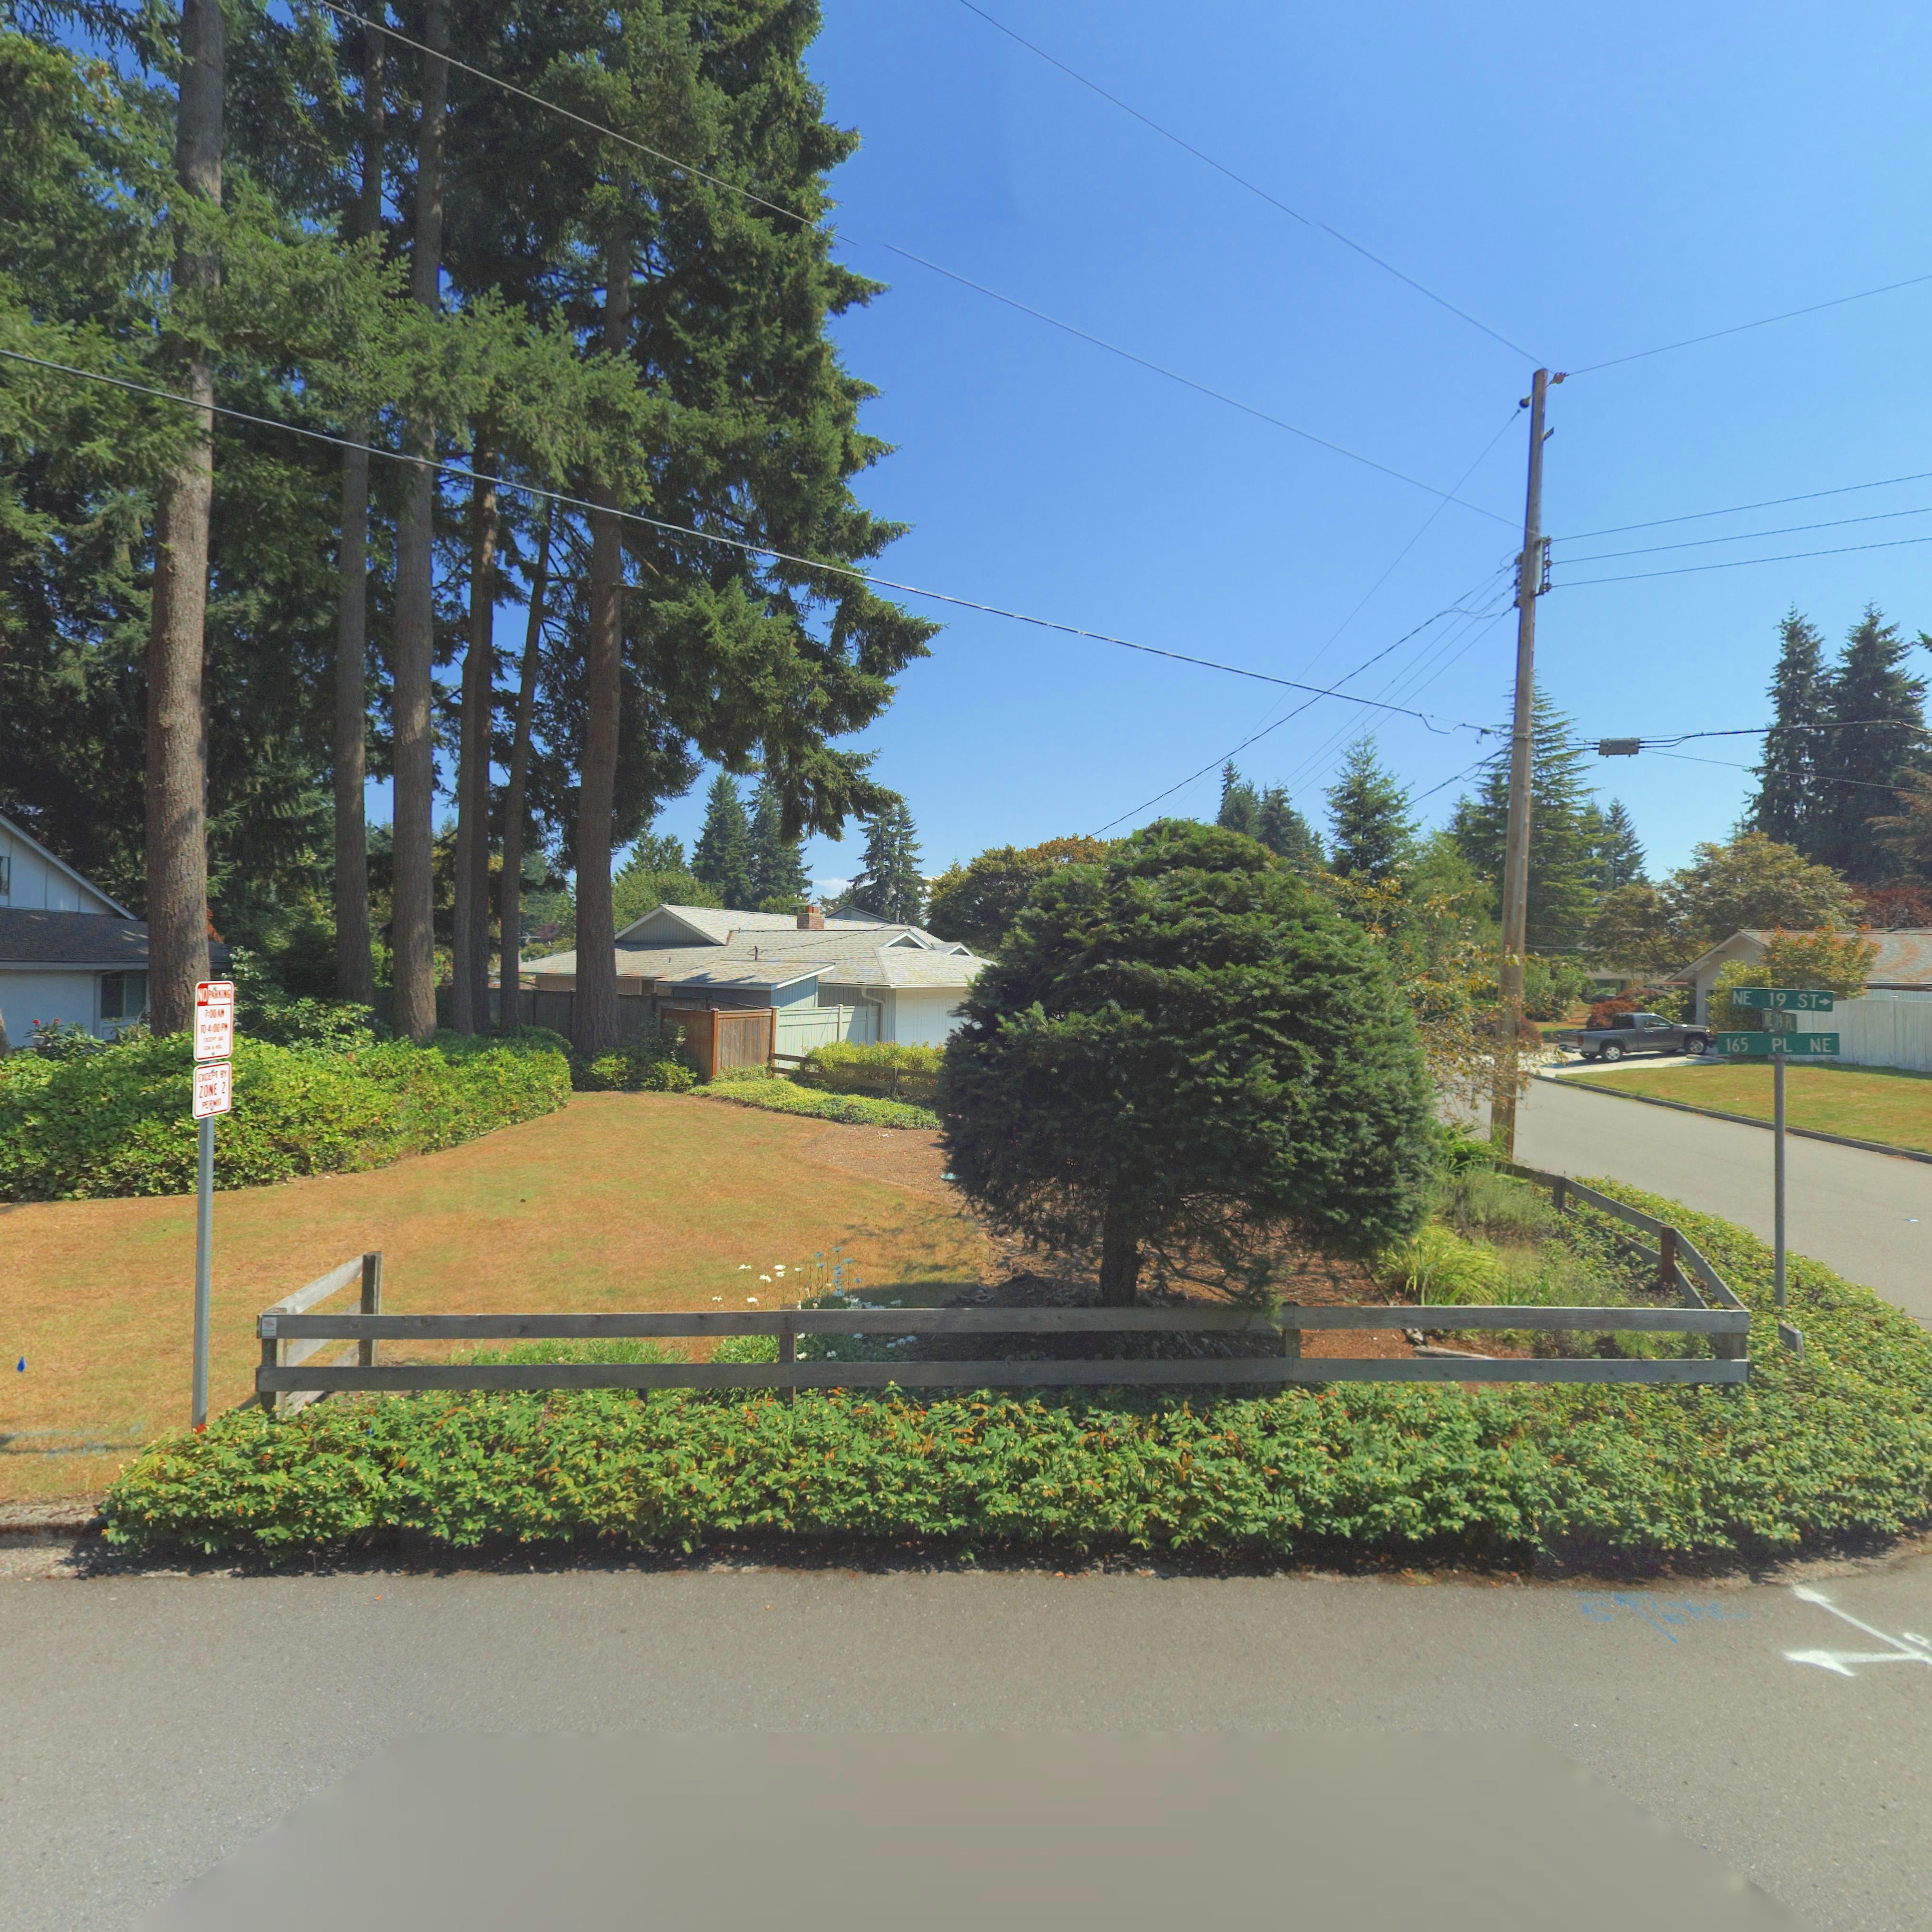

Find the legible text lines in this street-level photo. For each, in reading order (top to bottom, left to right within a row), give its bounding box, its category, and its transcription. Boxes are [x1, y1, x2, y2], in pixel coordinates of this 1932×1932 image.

[1733, 990, 1832, 1009] None: NE 19 ST ->
[1764, 1010, 1797, 1032] StreetName: *E 19 PL
[1726, 1037, 1833, 1054] StreetName: 165 PL NE